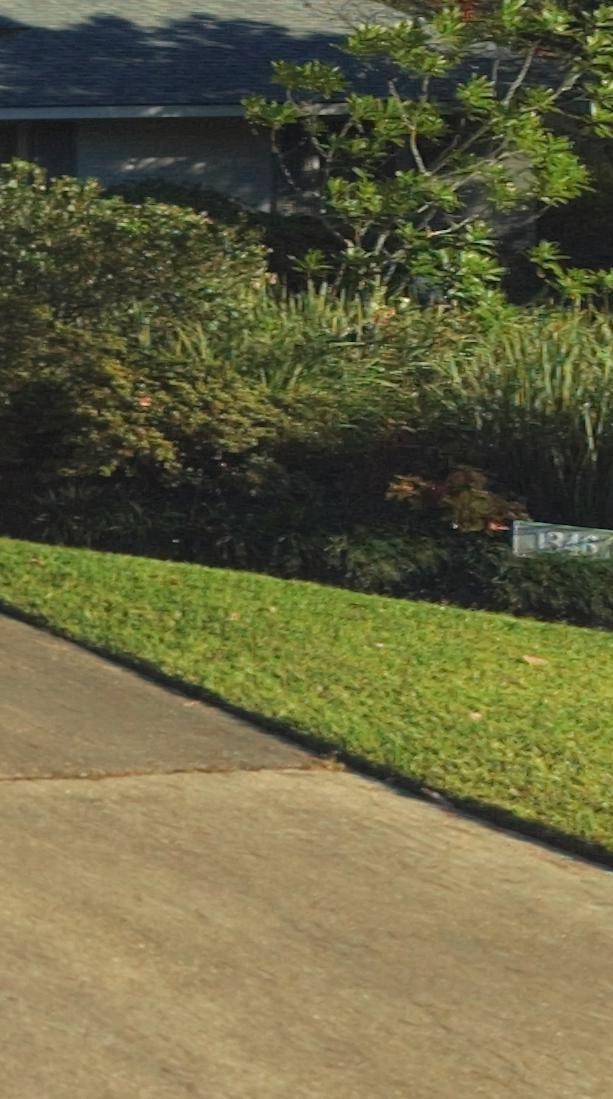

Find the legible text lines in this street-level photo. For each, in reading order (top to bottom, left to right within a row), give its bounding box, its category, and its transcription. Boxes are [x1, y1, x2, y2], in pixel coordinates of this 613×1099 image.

[533, 528, 602, 560] StreetNumber: 1346